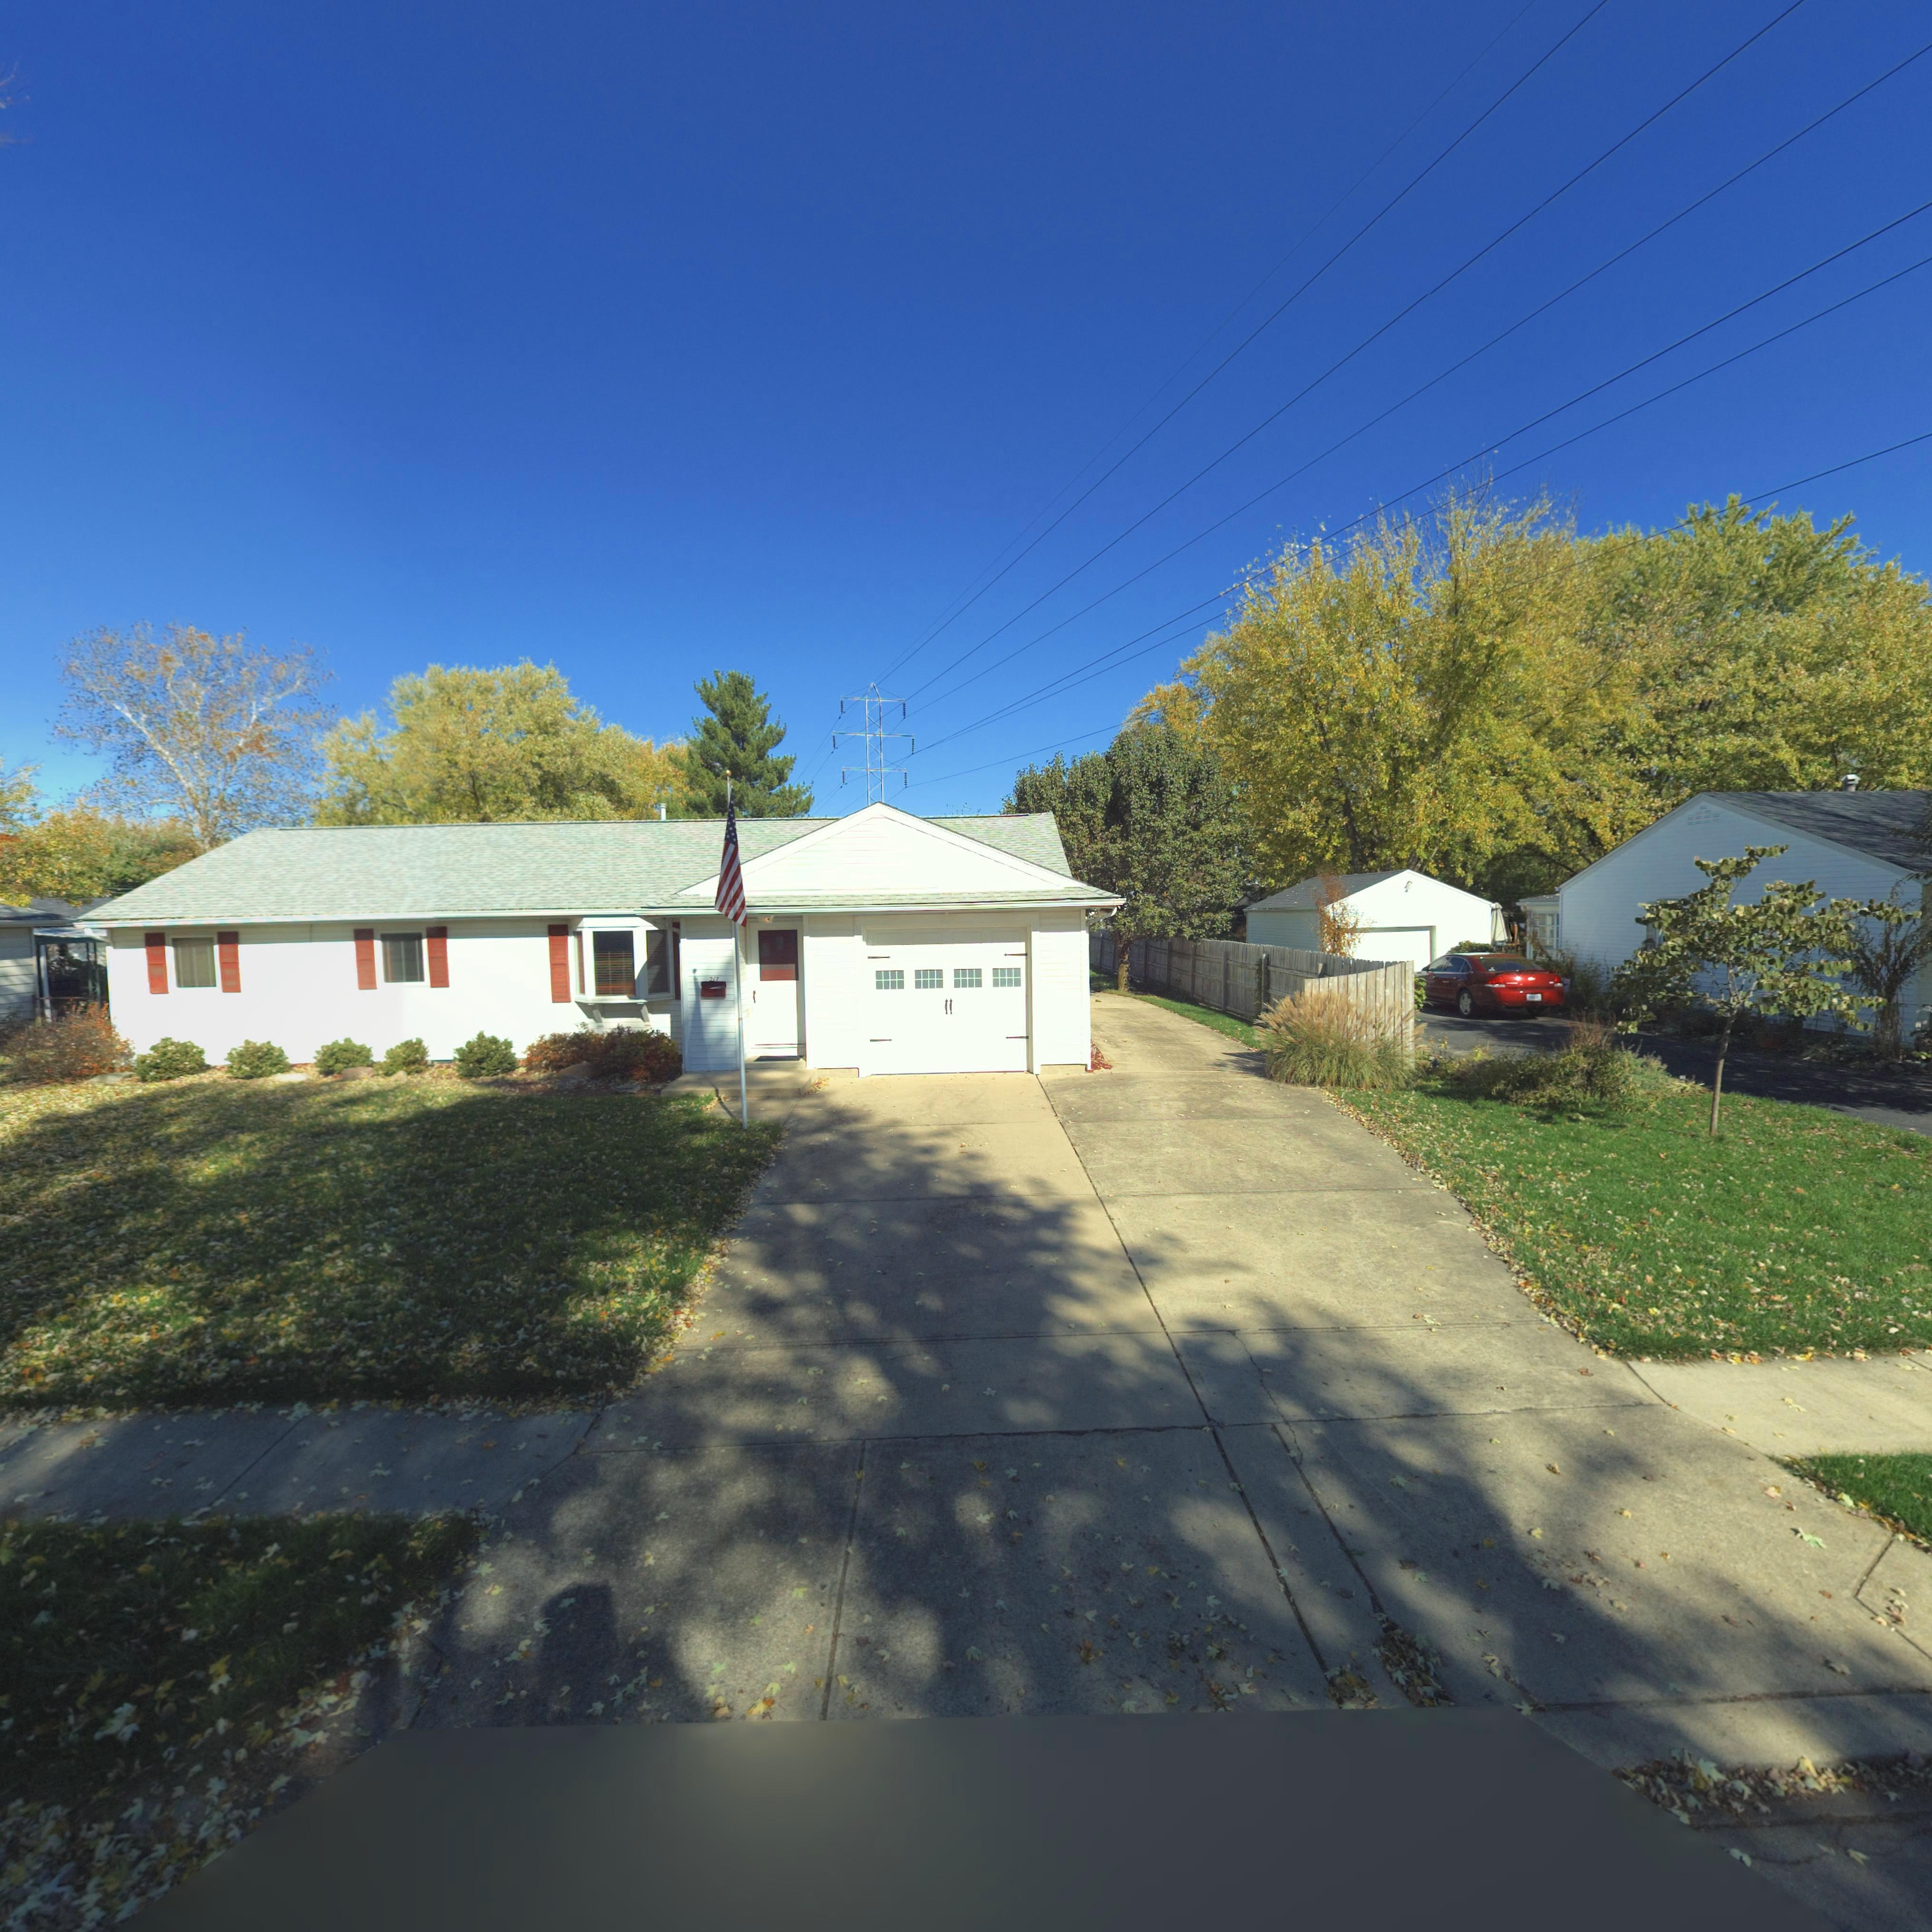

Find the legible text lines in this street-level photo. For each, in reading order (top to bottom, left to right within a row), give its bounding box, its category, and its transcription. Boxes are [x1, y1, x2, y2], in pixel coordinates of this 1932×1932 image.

[709, 976, 720, 982] StreetNumber: 217